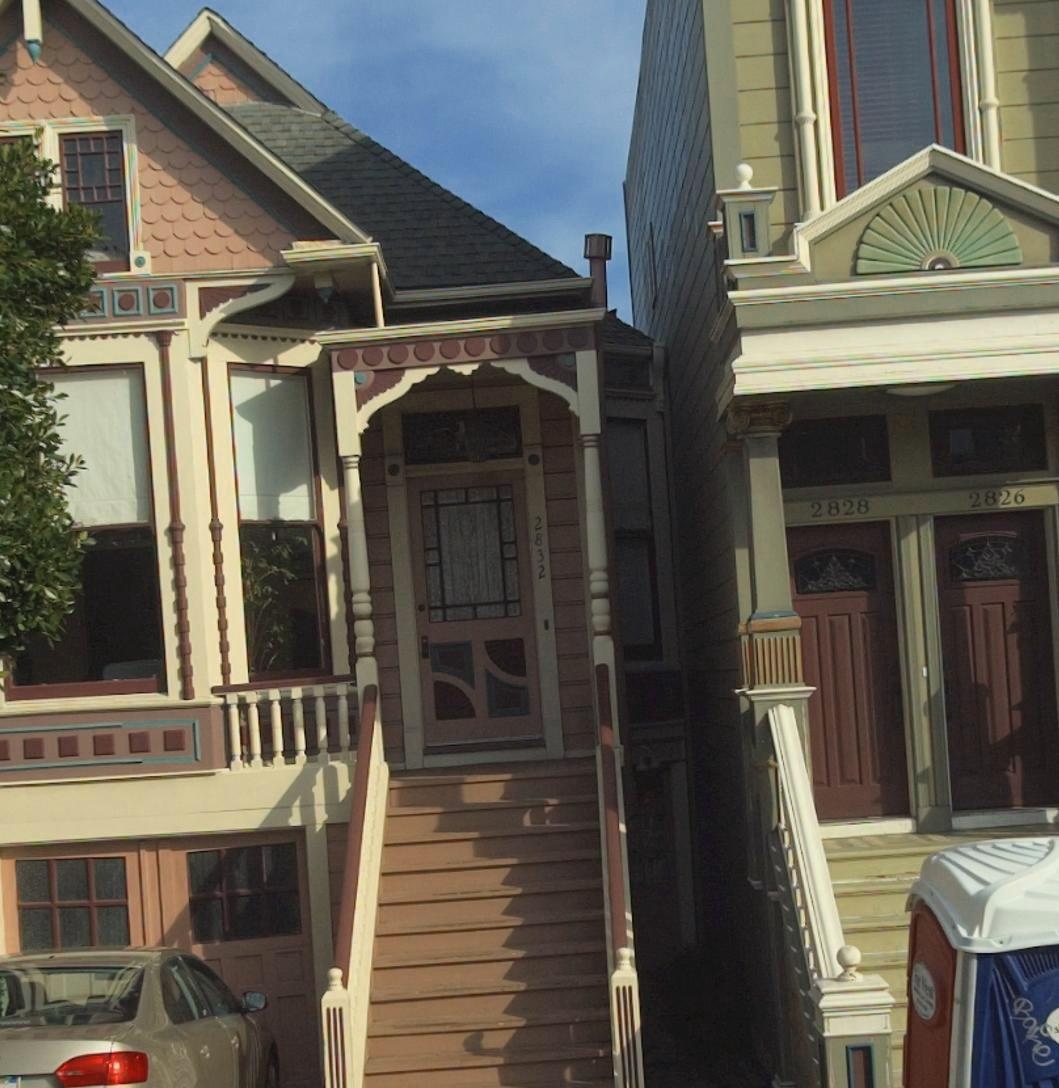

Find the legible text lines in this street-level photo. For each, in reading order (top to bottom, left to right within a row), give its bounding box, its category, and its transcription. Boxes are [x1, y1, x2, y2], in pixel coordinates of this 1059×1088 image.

[806, 494, 873, 522] StreetNumber: 2828
[966, 484, 1030, 512] StreetNumber: 2826
[530, 512, 549, 583] StreetNumber: 2832